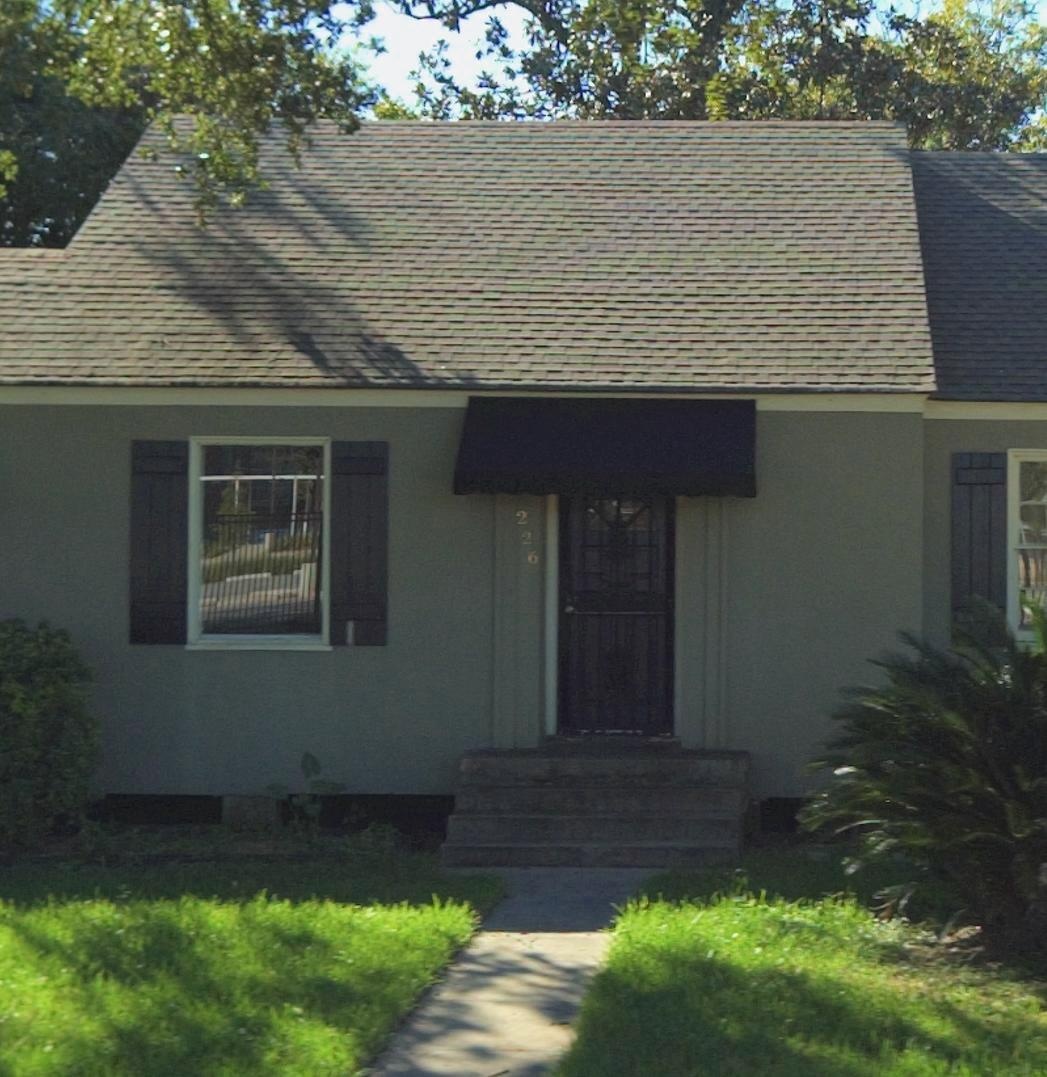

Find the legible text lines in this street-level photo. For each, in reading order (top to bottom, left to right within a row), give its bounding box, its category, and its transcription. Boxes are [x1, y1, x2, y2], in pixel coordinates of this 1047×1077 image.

[512, 506, 544, 568] StreetNumber: 226